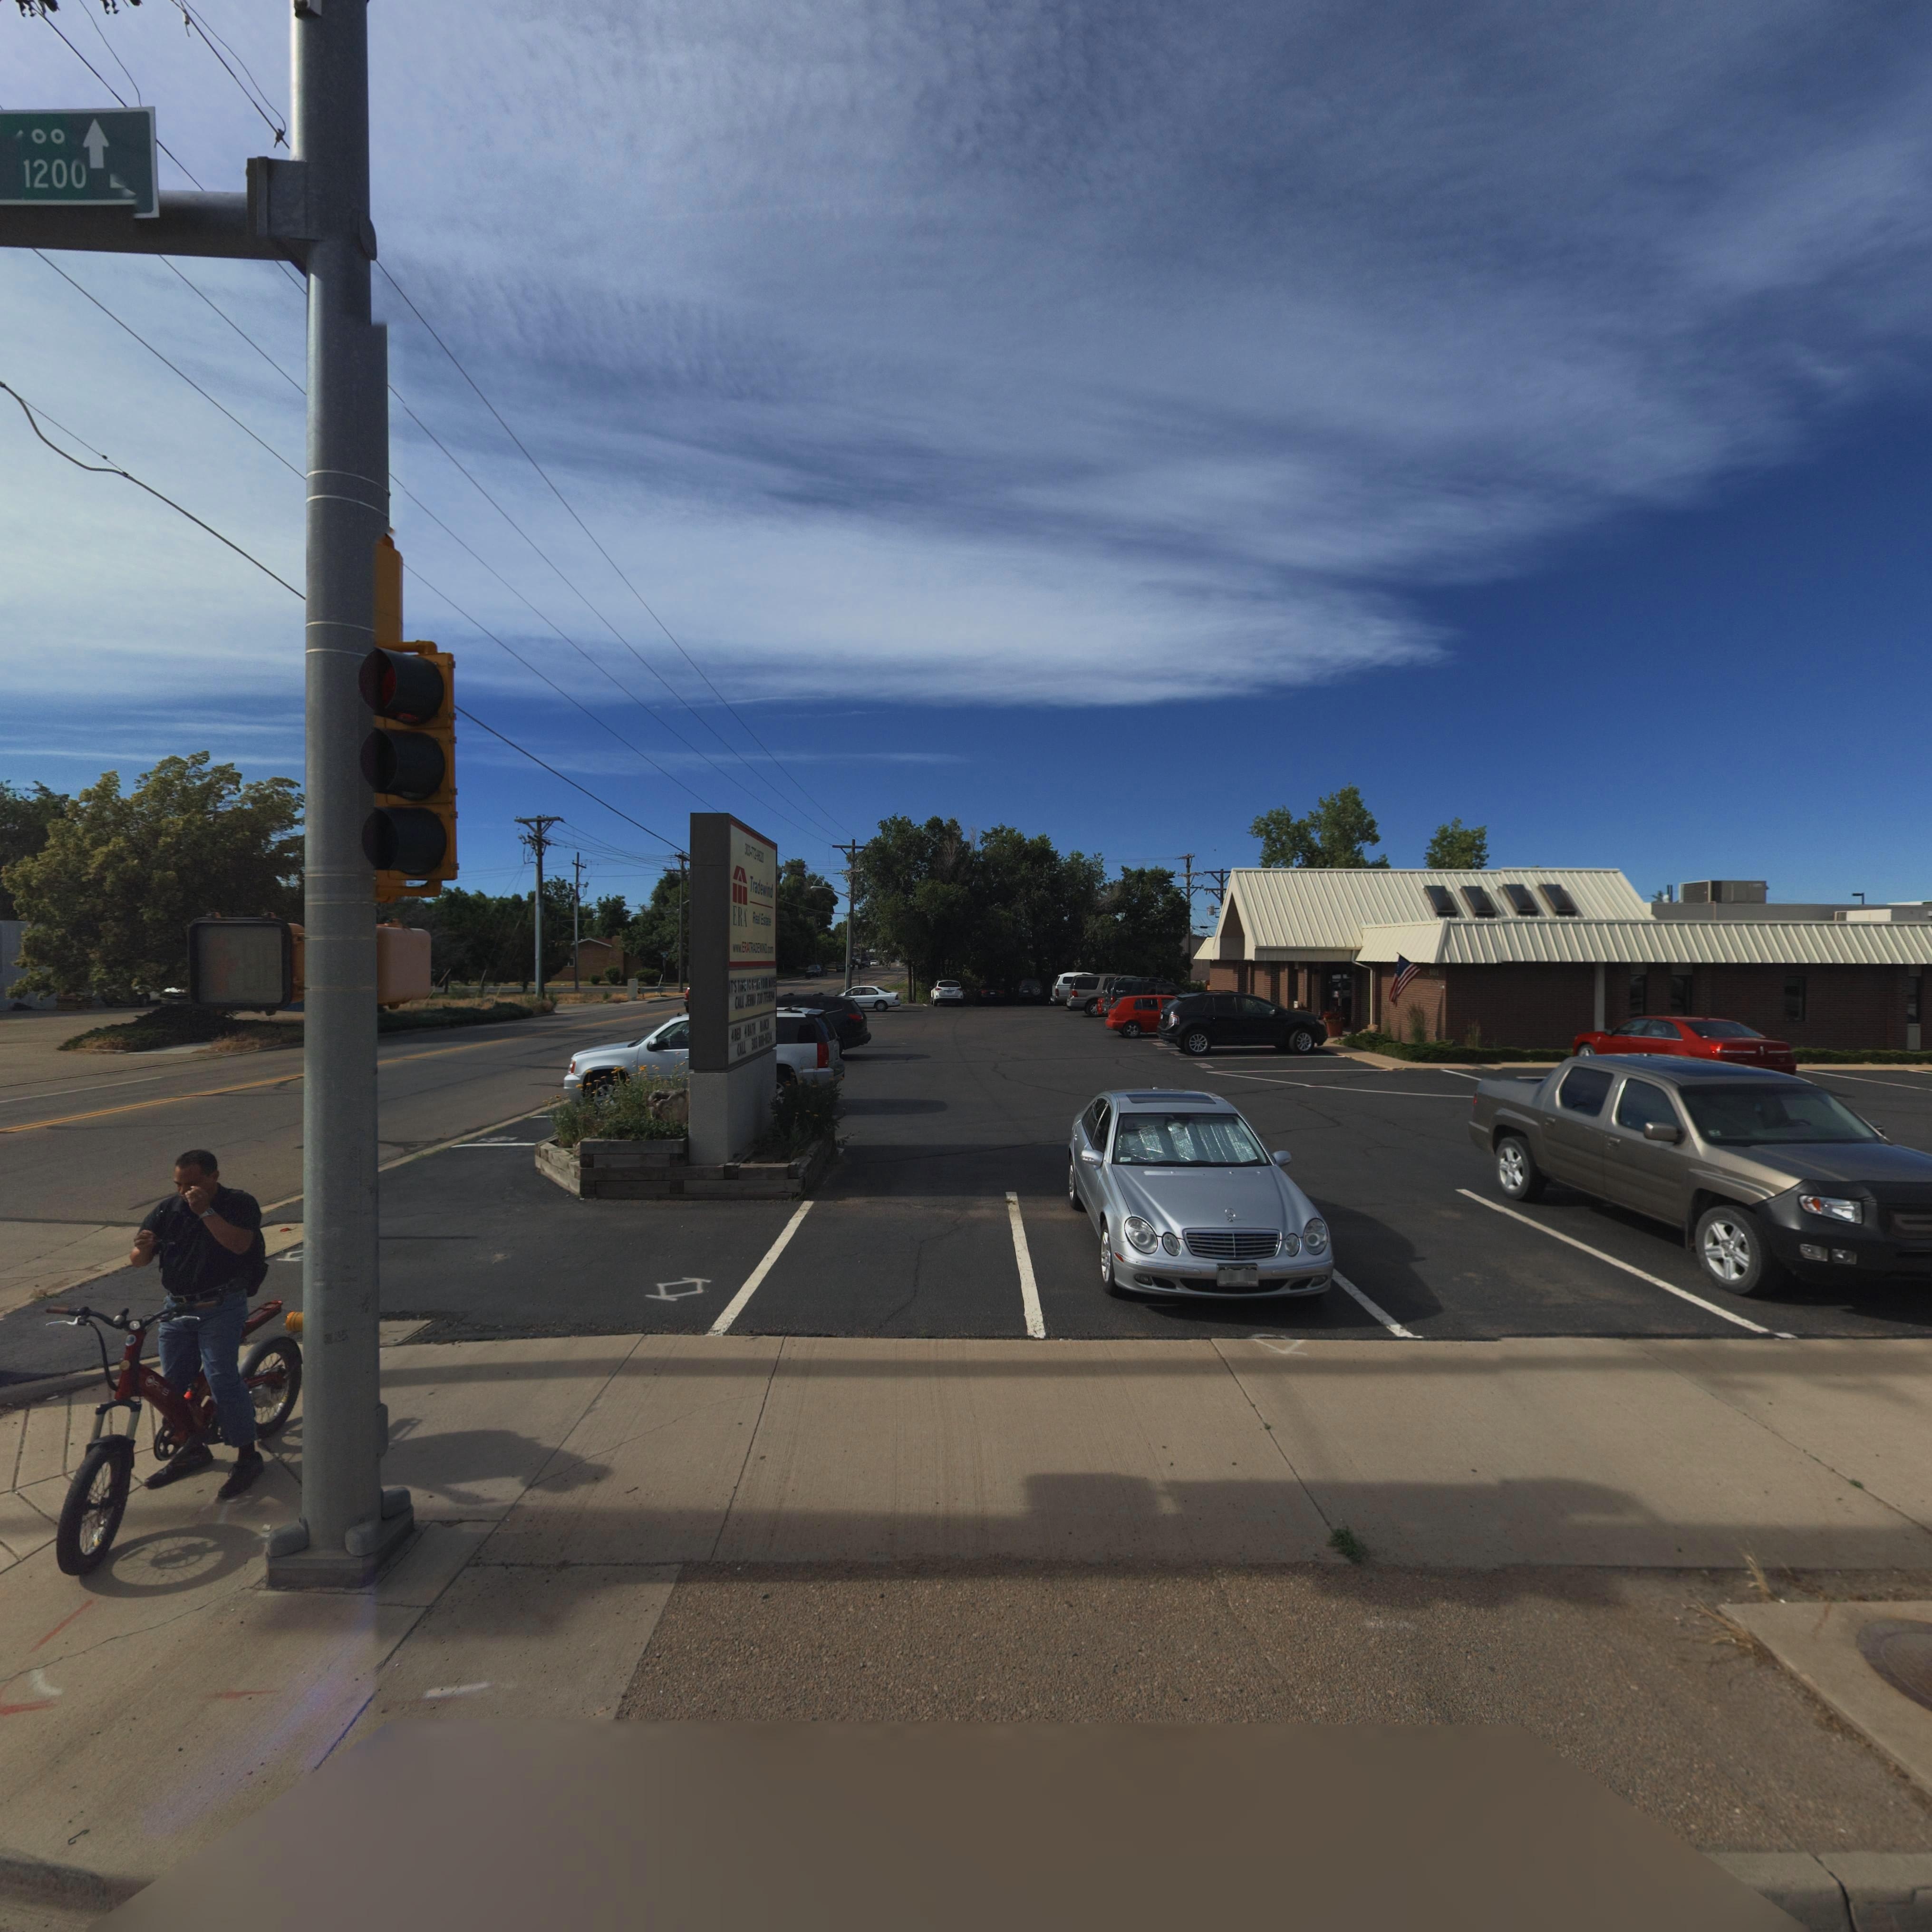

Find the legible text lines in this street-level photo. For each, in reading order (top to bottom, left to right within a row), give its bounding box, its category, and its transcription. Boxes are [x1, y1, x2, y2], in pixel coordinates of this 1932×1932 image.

[30, 126, 67, 146] StreetNumberRange: 00
[20, 155, 89, 190] StreetNumberRange: 1200
[749, 875, 773, 899] BusinessName: Tradewind
[732, 904, 748, 927] BusinessName: ERA
[752, 910, 772, 927] BusinessName: Real Estate
[1428, 968, 1439, 976] StreetNumber: *01